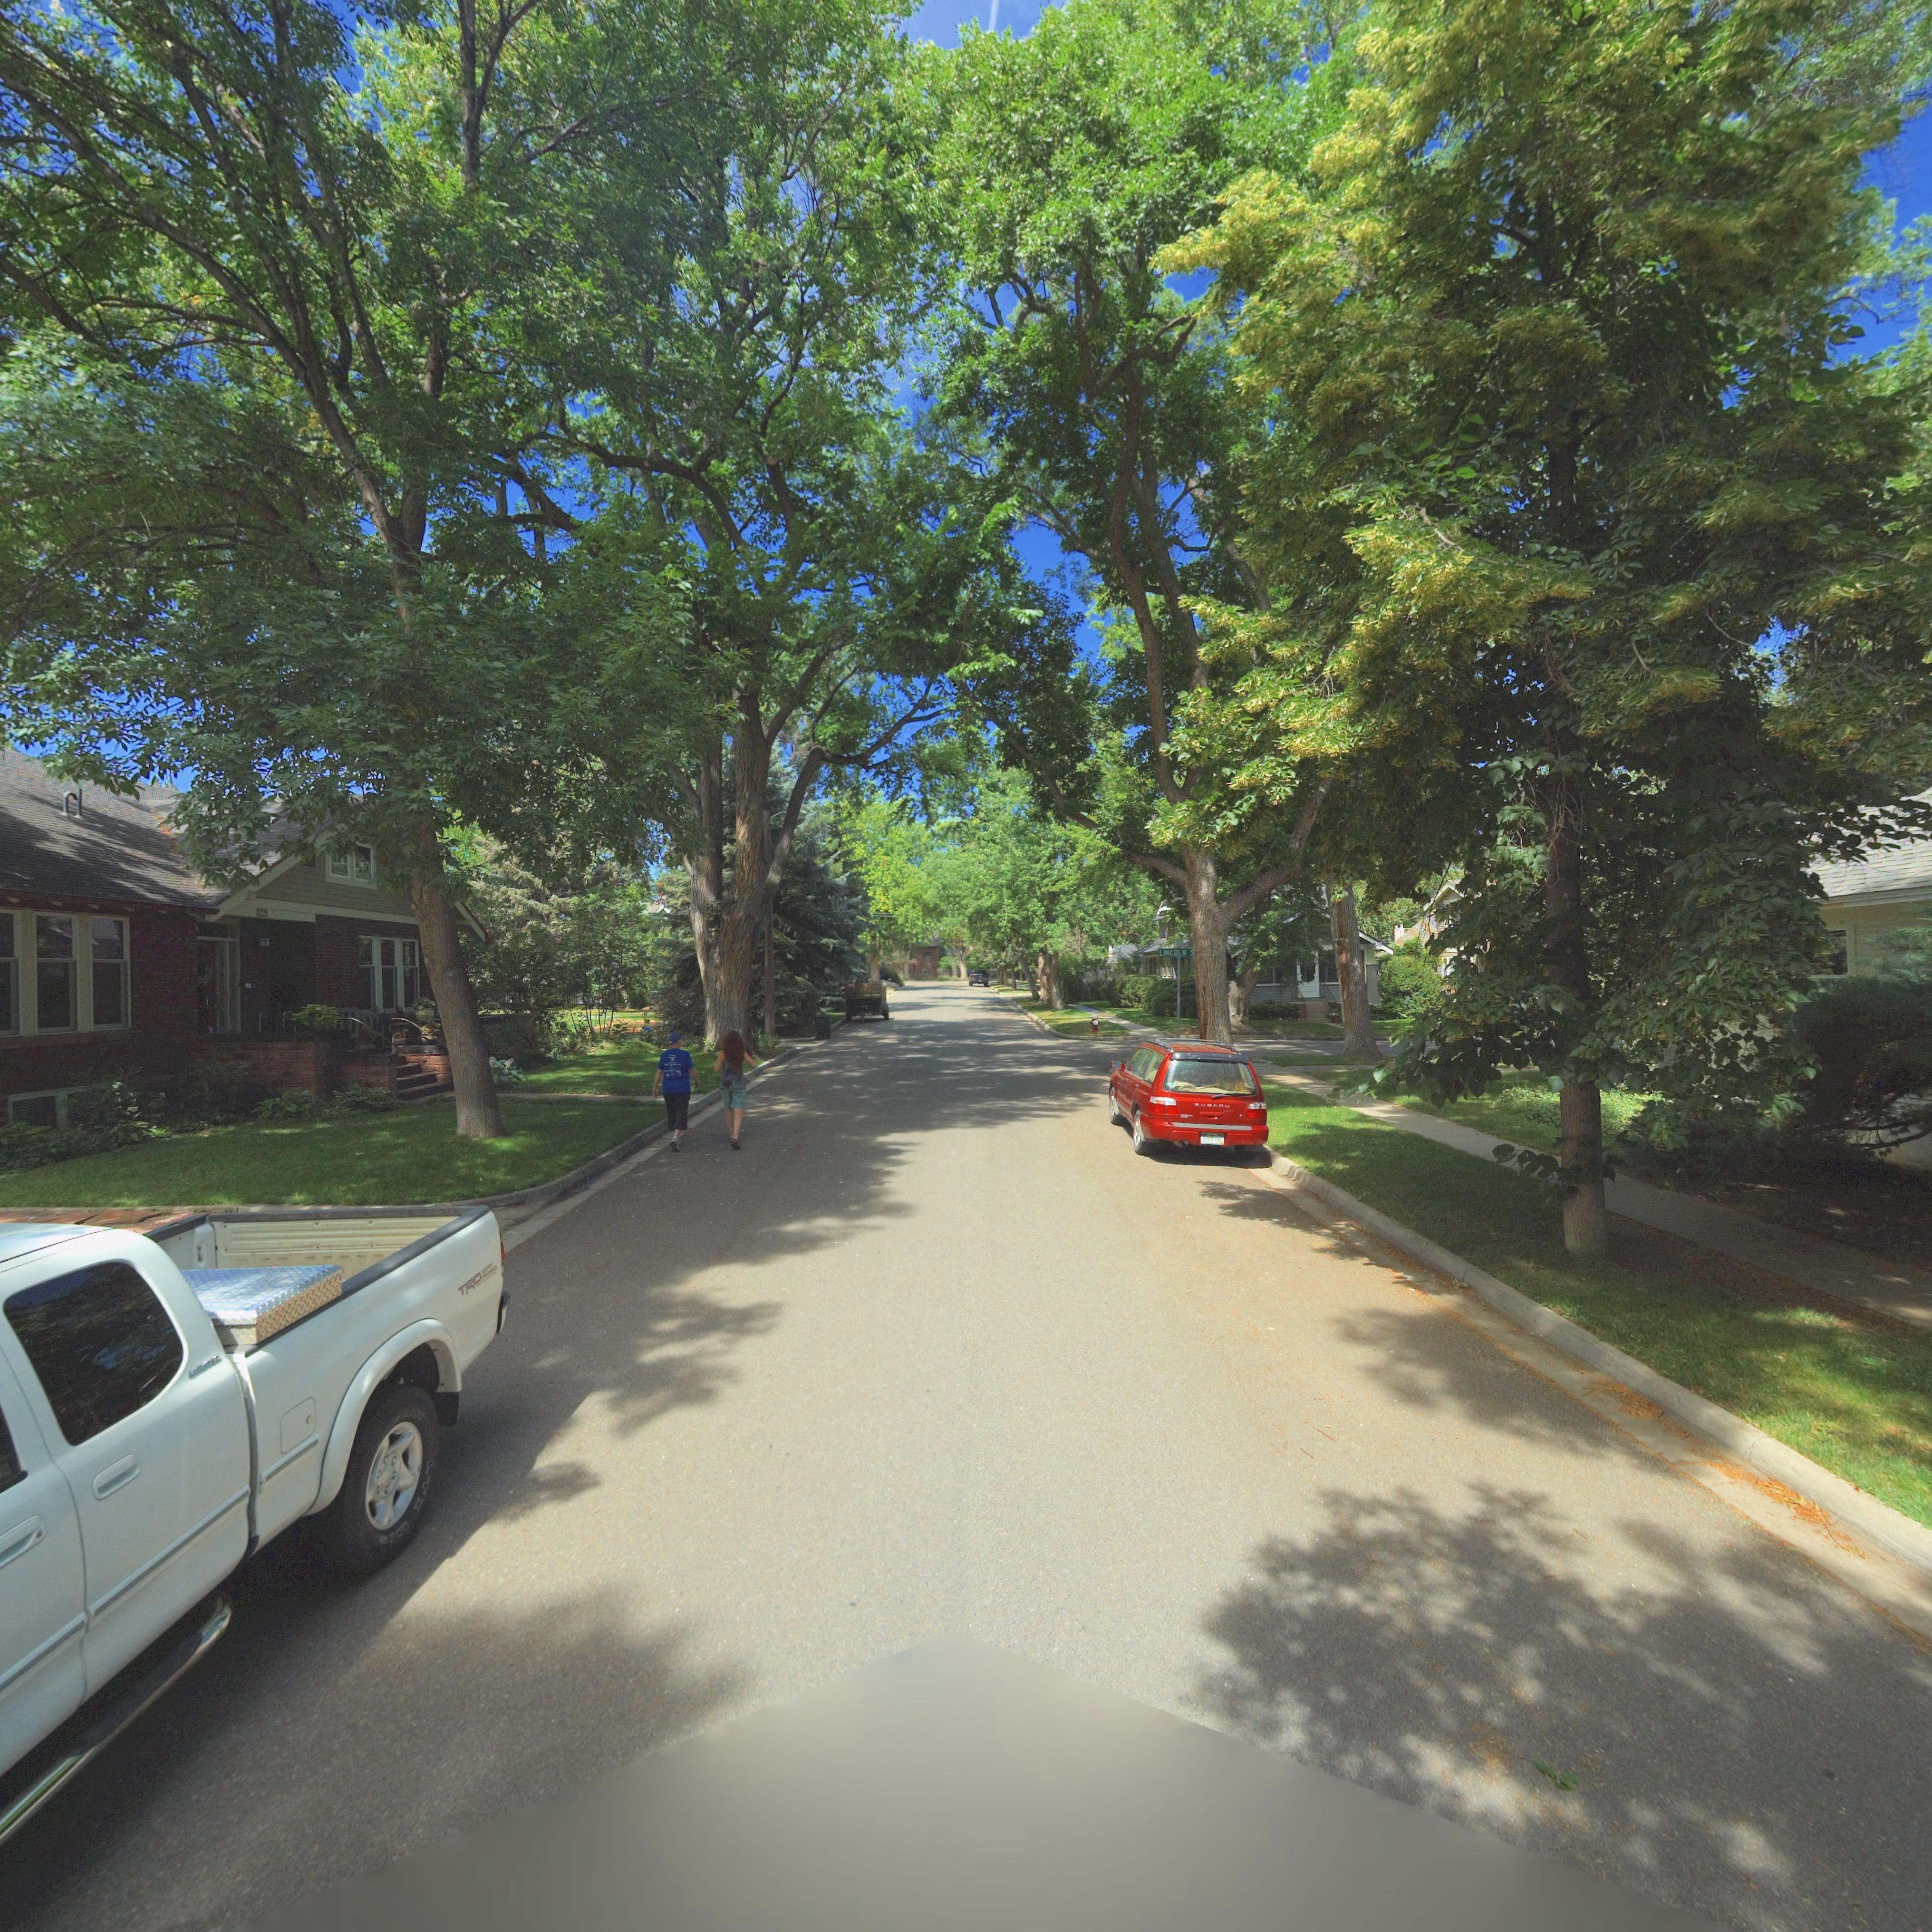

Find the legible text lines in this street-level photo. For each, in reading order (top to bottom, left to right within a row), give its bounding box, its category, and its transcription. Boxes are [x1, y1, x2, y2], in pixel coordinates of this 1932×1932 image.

[256, 907, 268, 917] StreetNumber: 1221
[1159, 949, 1194, 956] StreetName: LINCOLN *